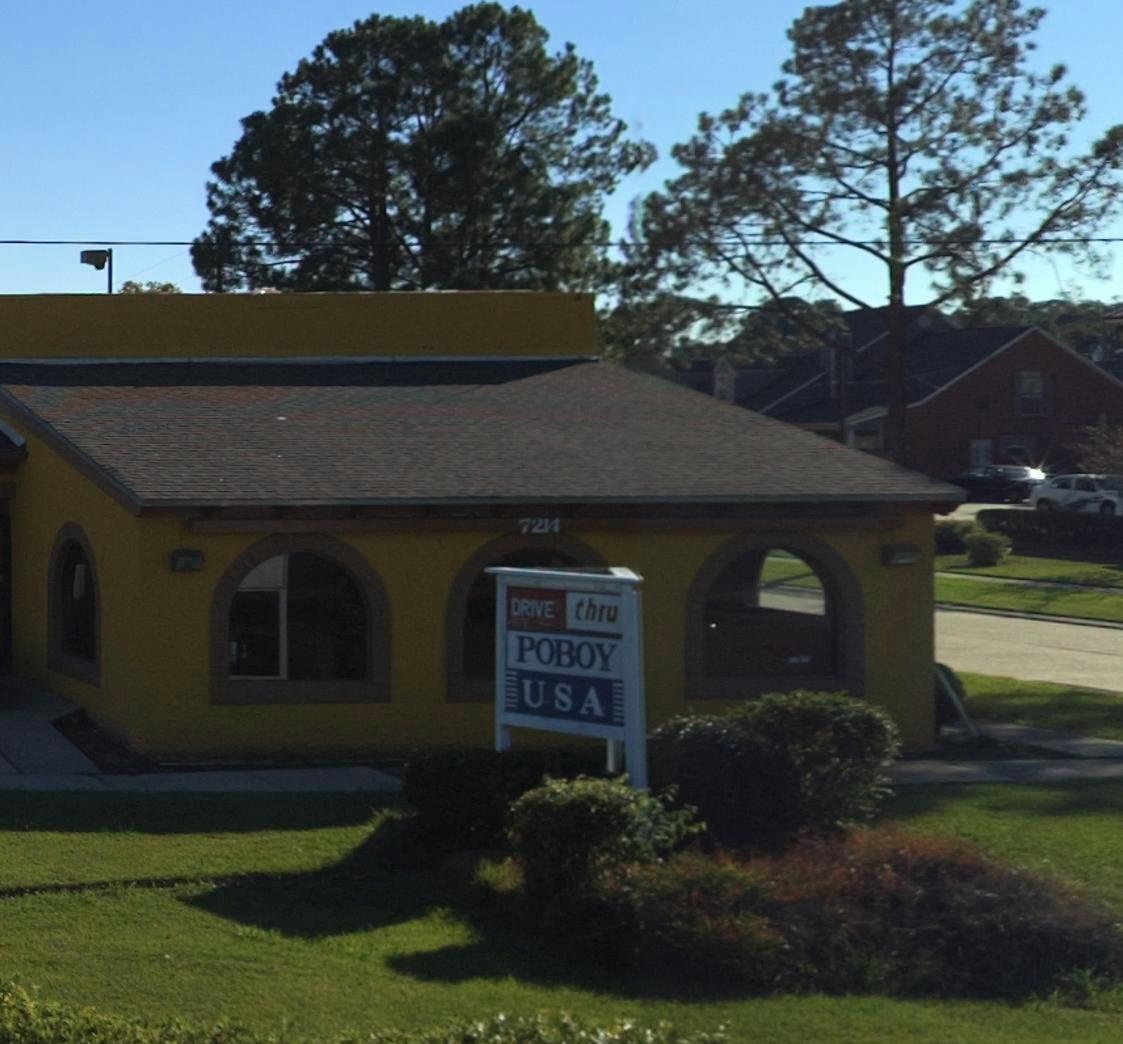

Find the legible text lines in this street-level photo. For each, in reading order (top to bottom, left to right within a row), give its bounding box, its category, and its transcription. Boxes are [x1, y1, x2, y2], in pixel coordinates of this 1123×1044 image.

[518, 516, 563, 535] StreetNumber: 7214
[510, 595, 557, 621] None: DRIVE
[570, 595, 621, 625] None: thru
[513, 632, 621, 674] BusinessName: POBOY
[519, 677, 608, 719] None: USA